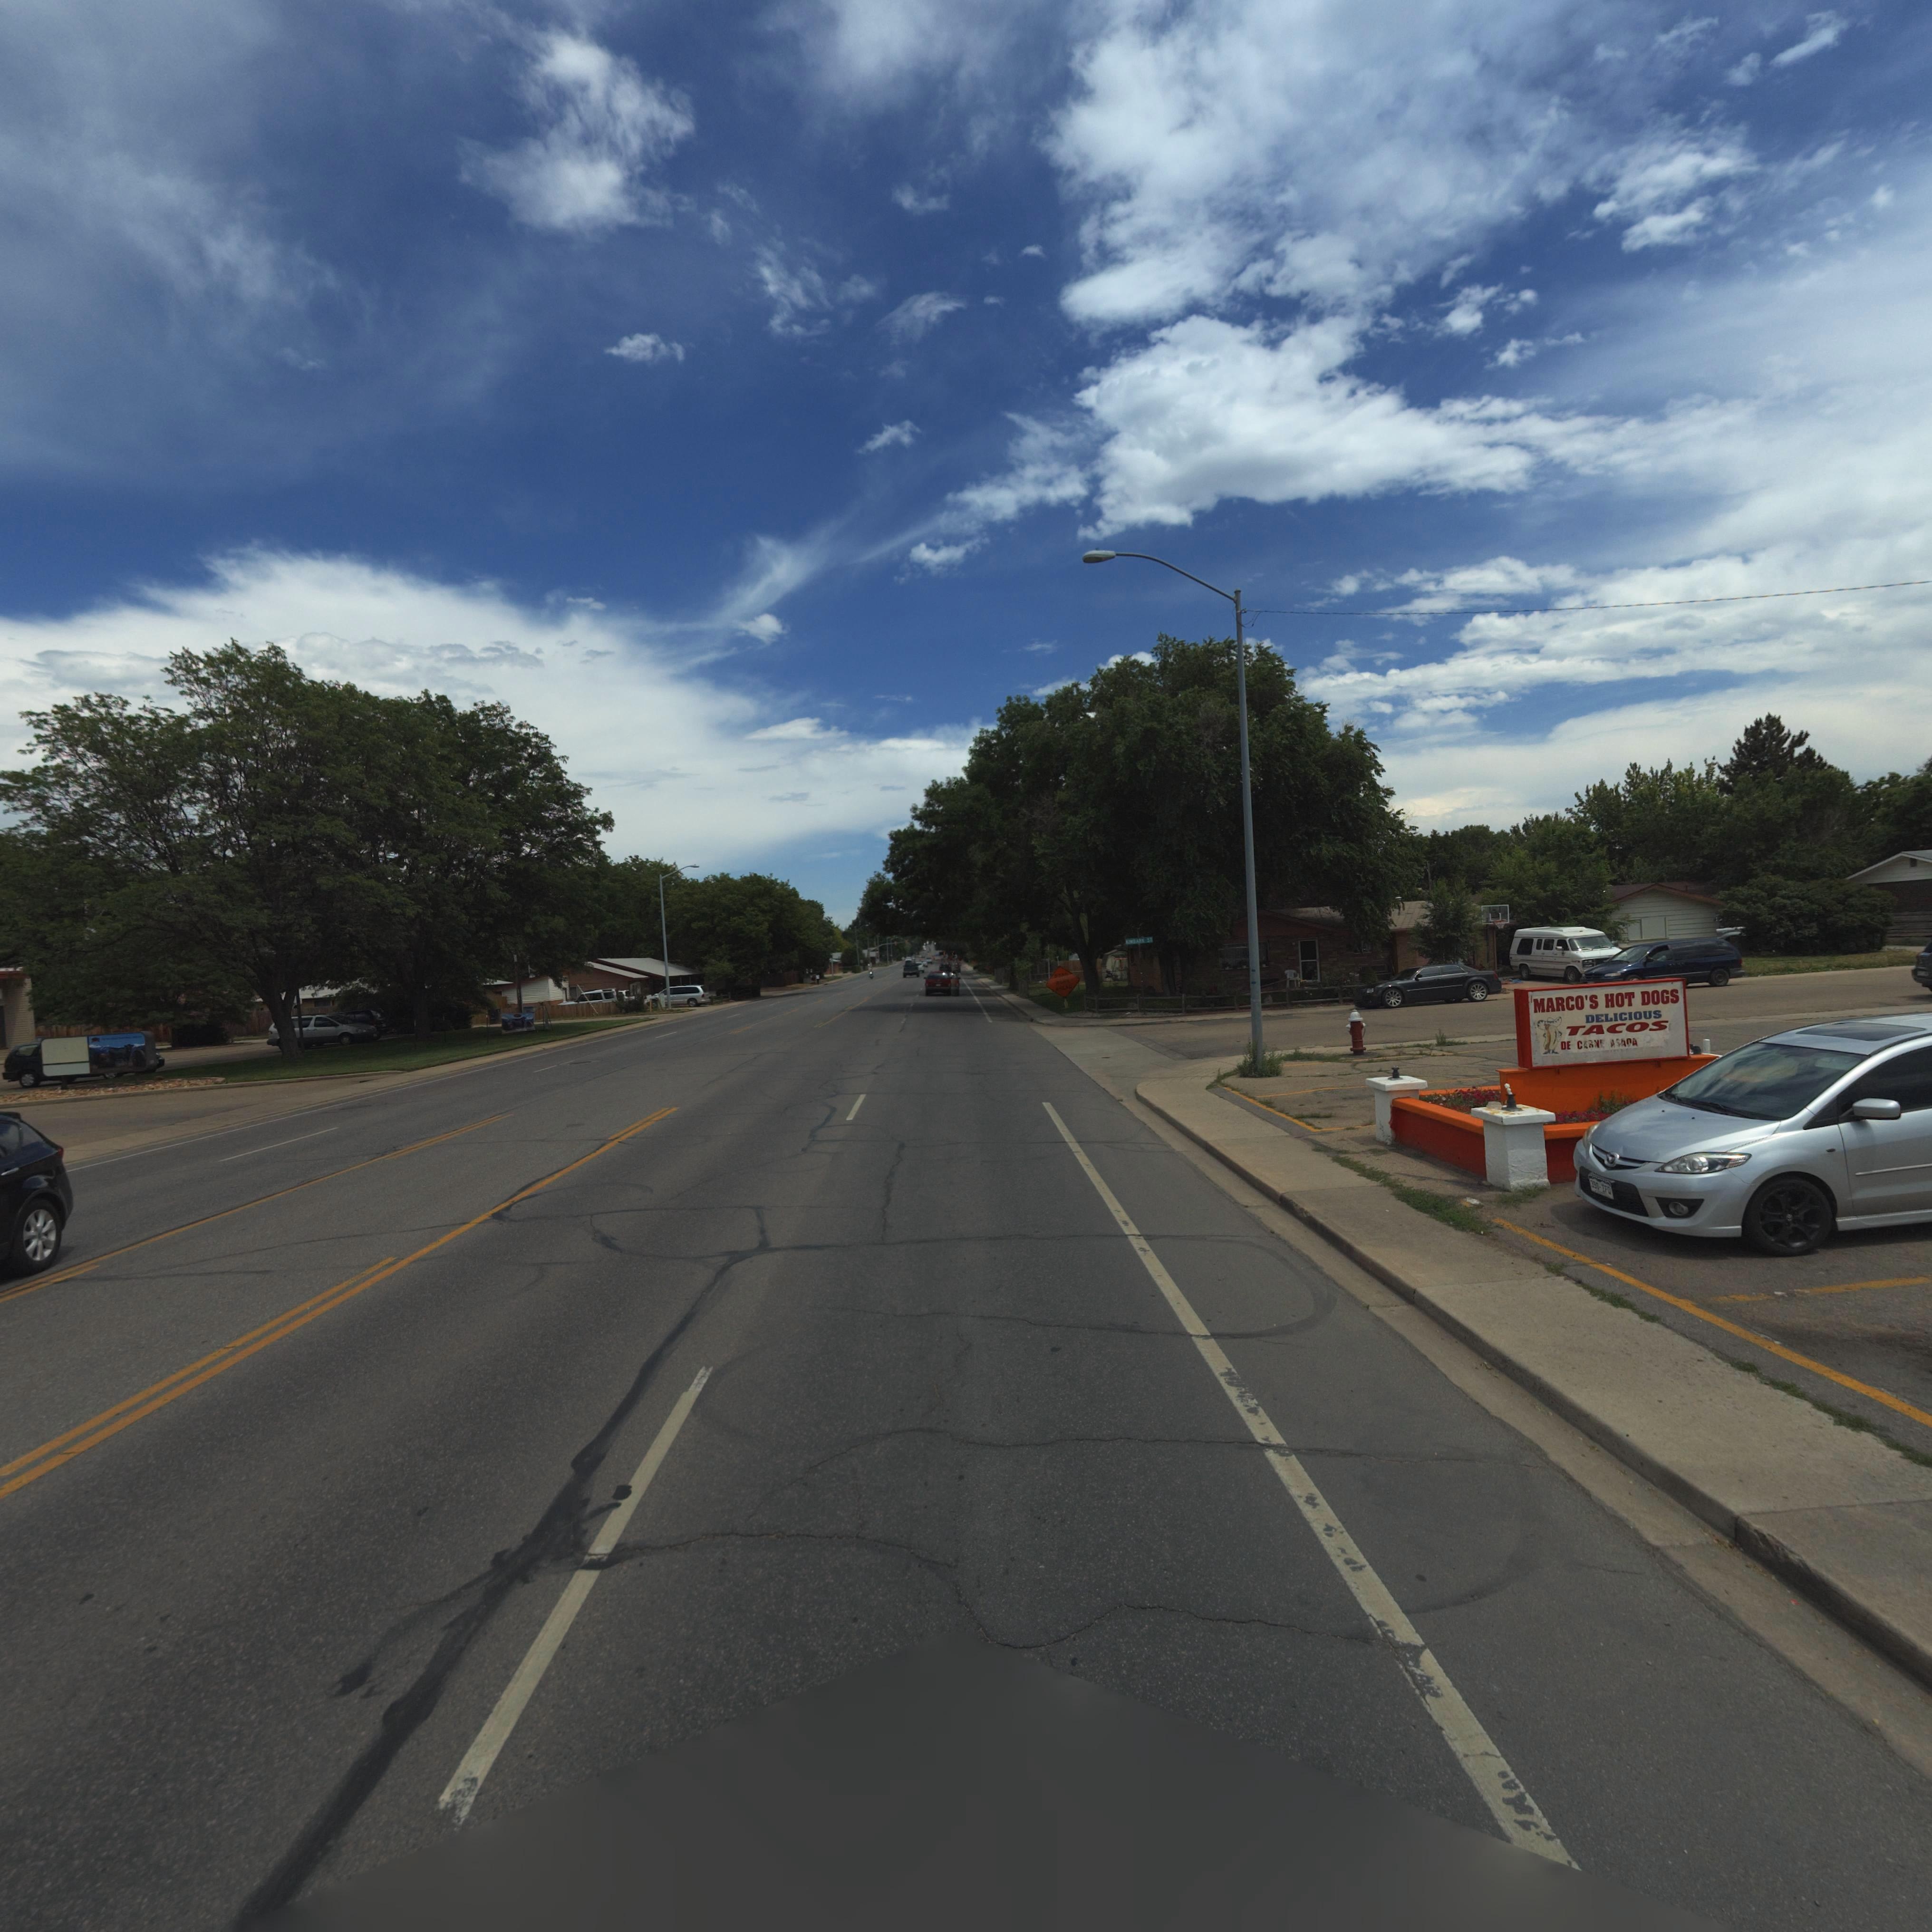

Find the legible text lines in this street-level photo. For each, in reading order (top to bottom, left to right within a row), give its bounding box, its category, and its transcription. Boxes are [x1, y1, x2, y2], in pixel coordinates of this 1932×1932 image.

[1125, 937, 1152, 944] StreetName: K**BAR* ST
[1532, 988, 1680, 1014] BusinessName: MARCO'S HOT DOGS